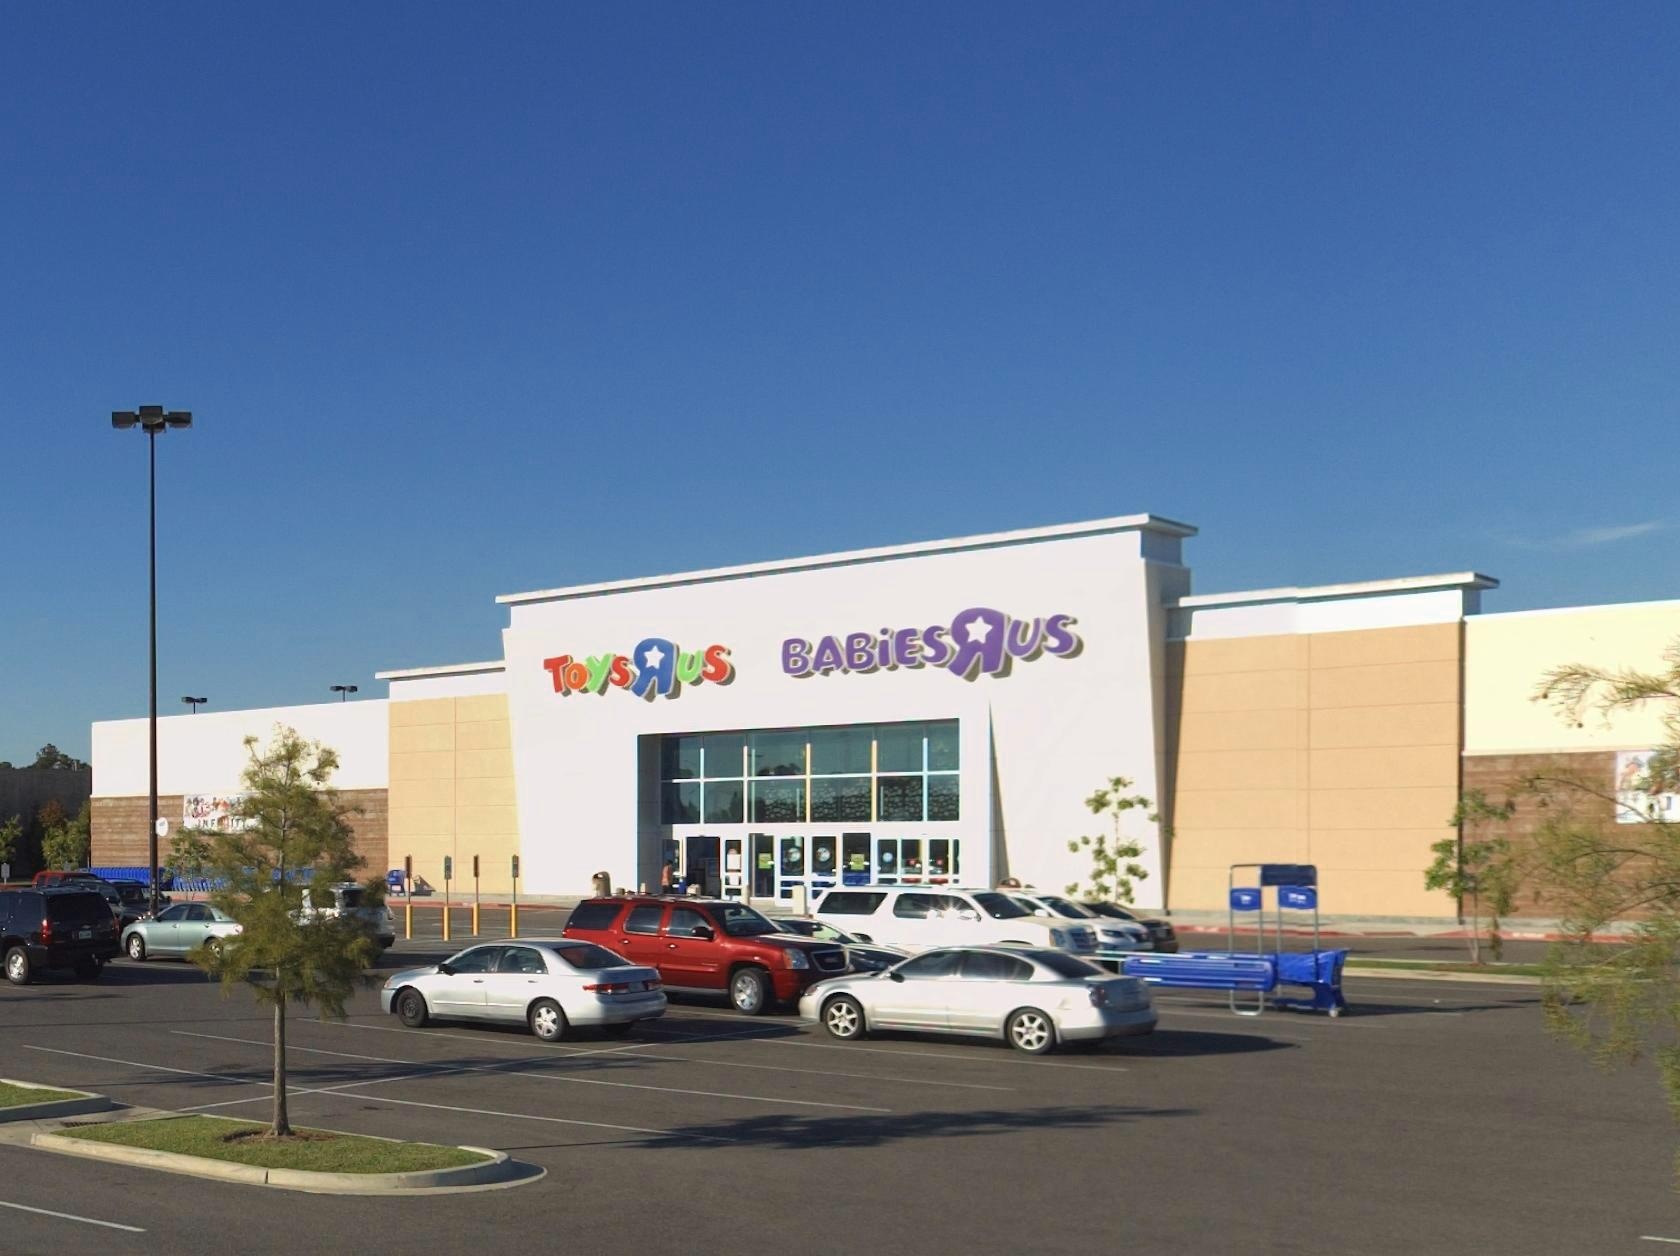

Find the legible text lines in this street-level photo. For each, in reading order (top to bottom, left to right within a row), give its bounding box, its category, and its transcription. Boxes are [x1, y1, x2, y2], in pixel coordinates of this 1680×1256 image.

[542, 637, 733, 699] BusinessName: TOYS*US
[781, 606, 1080, 677] BusinessName: BABiES*US
[197, 817, 250, 829] None: INF**IT*